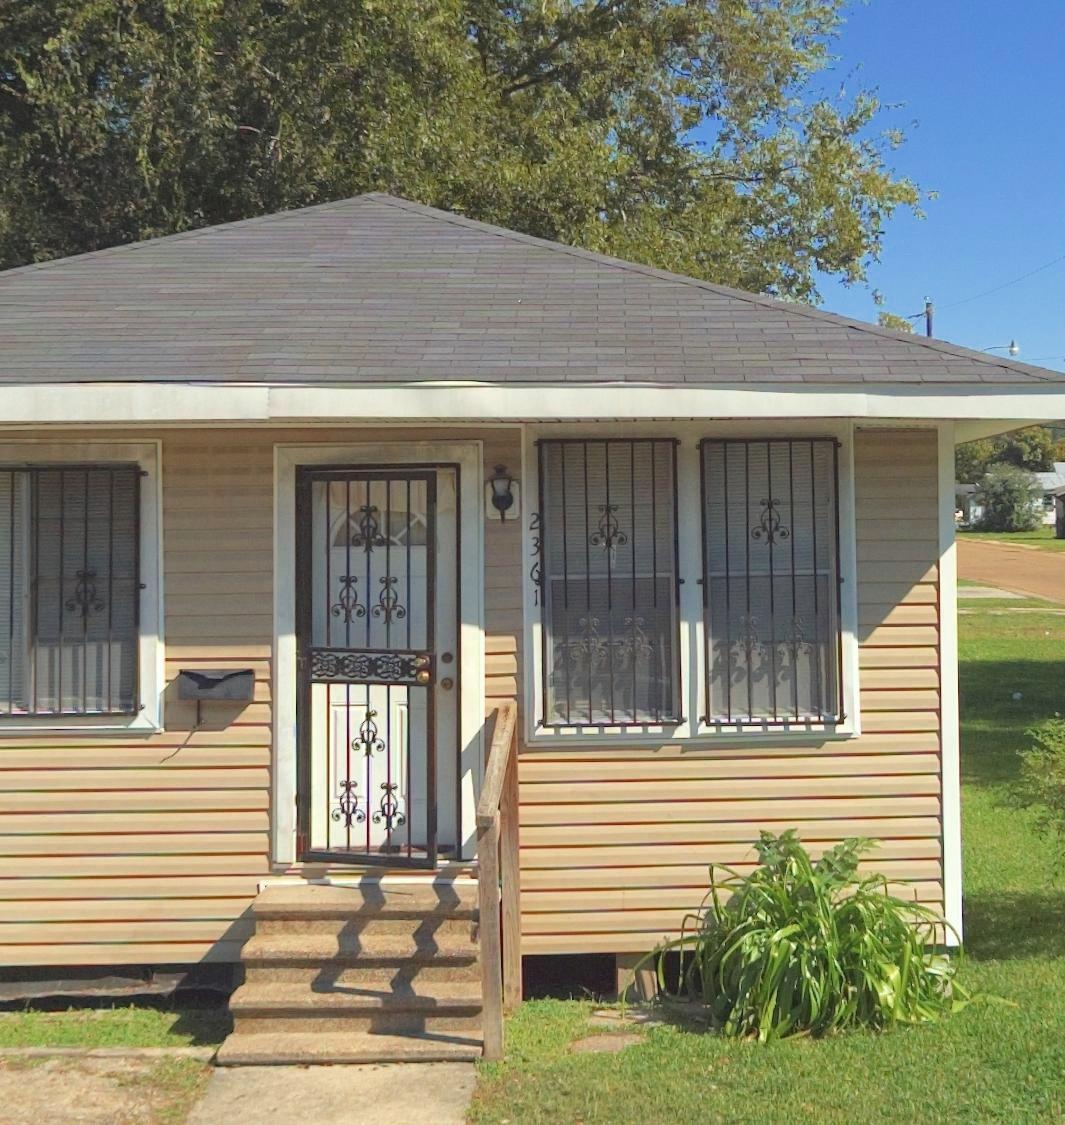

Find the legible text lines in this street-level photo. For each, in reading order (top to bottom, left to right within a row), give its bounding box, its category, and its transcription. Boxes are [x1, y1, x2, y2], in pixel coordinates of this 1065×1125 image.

[527, 510, 542, 610] StreetNumber: 2361